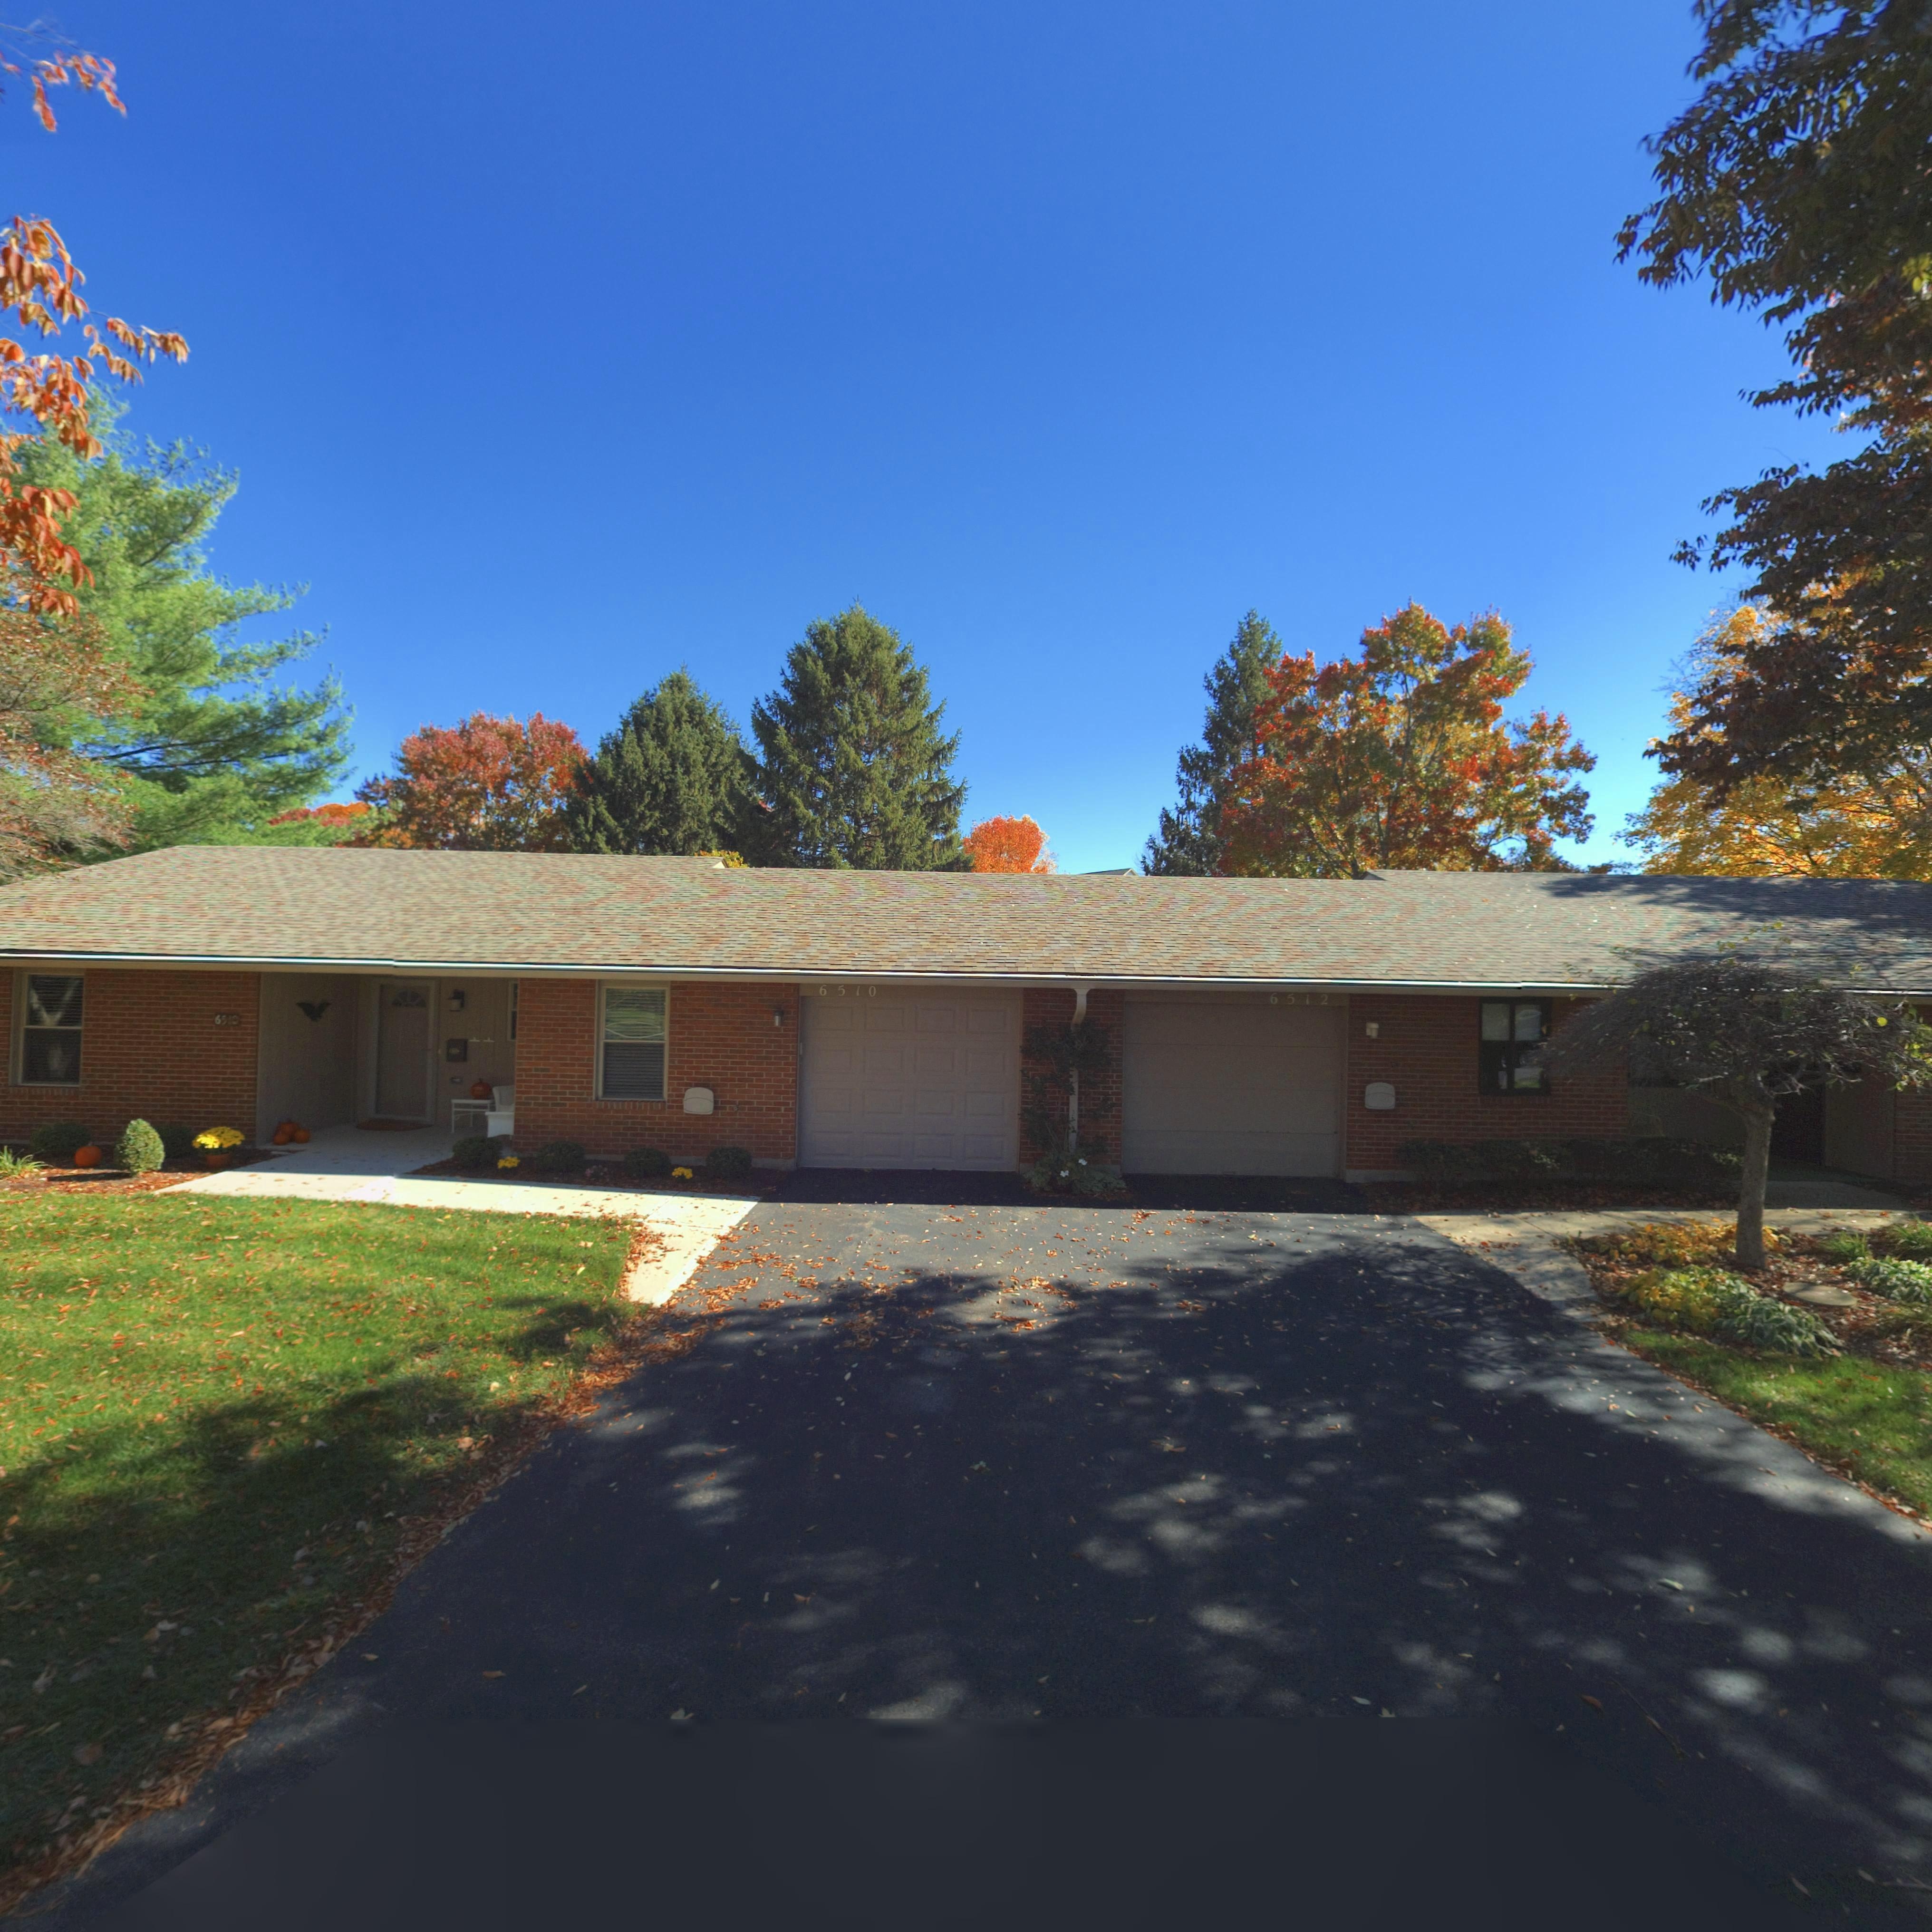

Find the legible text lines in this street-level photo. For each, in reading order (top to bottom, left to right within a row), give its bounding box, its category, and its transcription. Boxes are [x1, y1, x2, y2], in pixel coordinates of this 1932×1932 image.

[818, 983, 878, 998] StreetNumber: 6510
[1268, 991, 1330, 1006] StreetNumber: 6512
[213, 1013, 240, 1026] StreetNumber: 6510